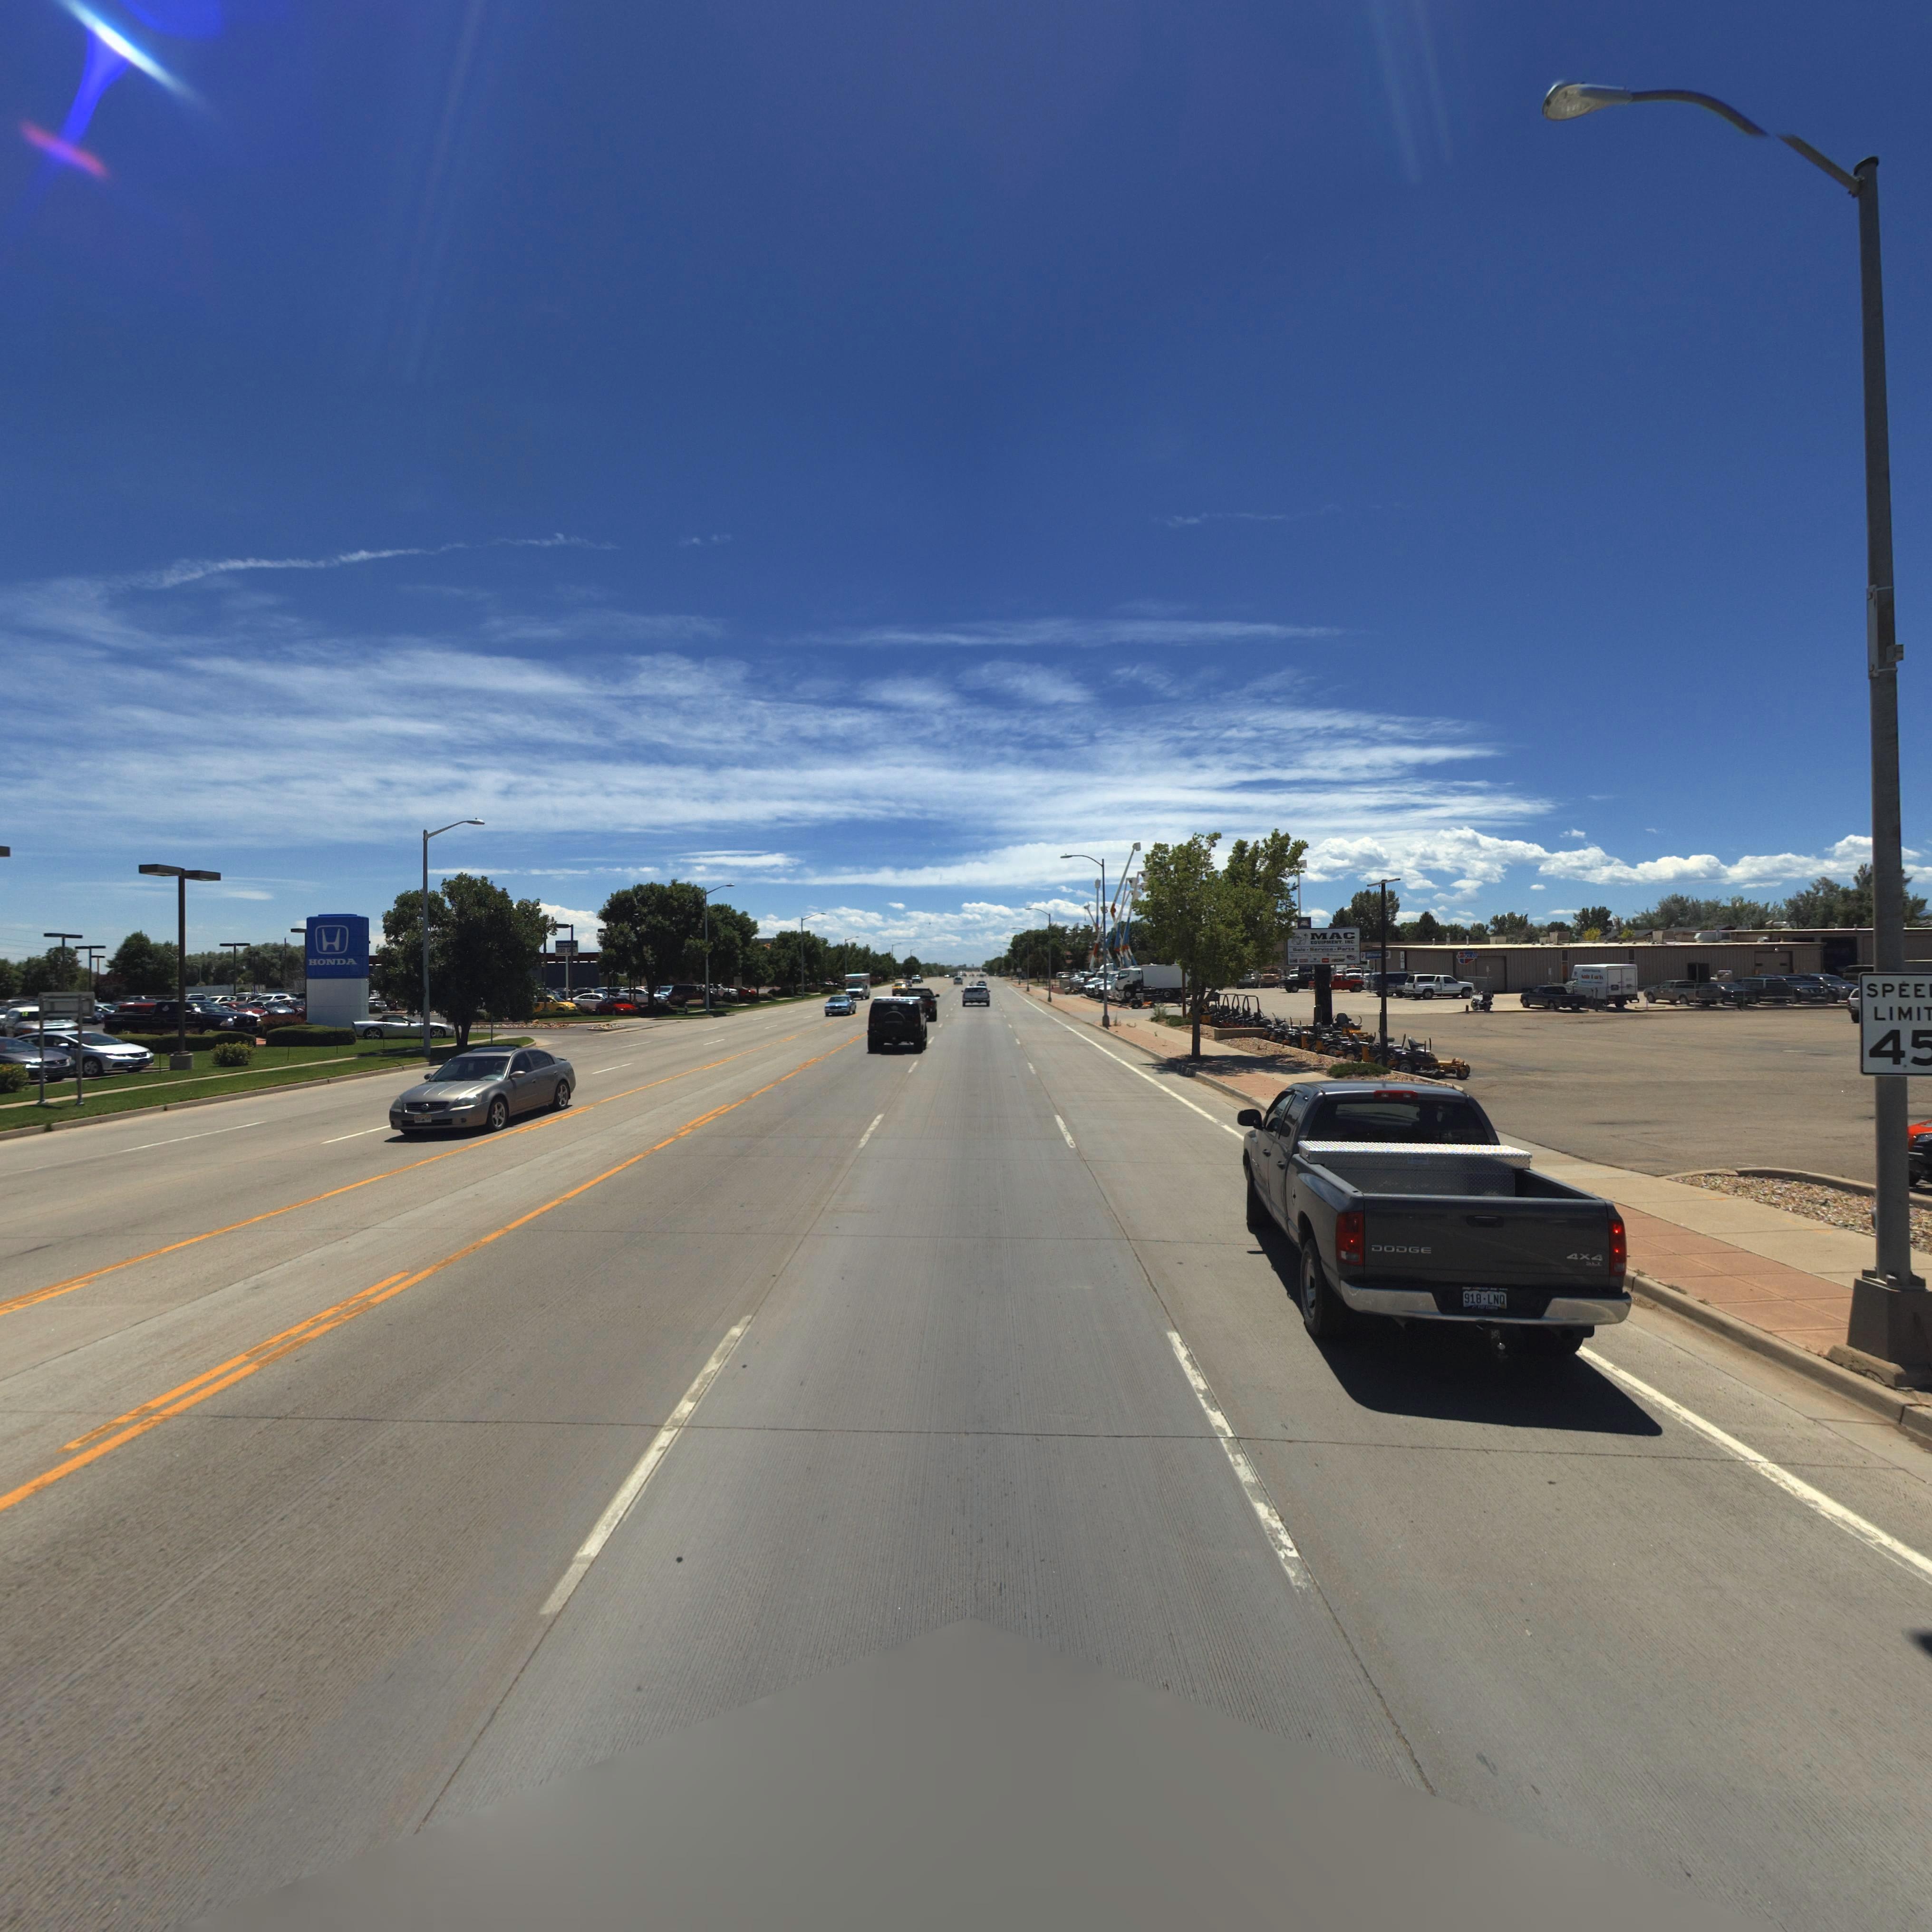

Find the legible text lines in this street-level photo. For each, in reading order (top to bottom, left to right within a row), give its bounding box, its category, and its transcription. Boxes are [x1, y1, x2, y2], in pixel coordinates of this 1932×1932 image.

[1300, 920, 1309, 926] BusinessName: MTE
[556, 942, 576, 946] BusinessName: HON
[1456, 953, 1478, 959] BusinessName: CARQUEST
[307, 957, 359, 967] BusinessName: HONDA
[1865, 982, 1927, 998] BusinessName: SPEE
[1873, 1004, 1922, 1024] StreetNumber: LIMI